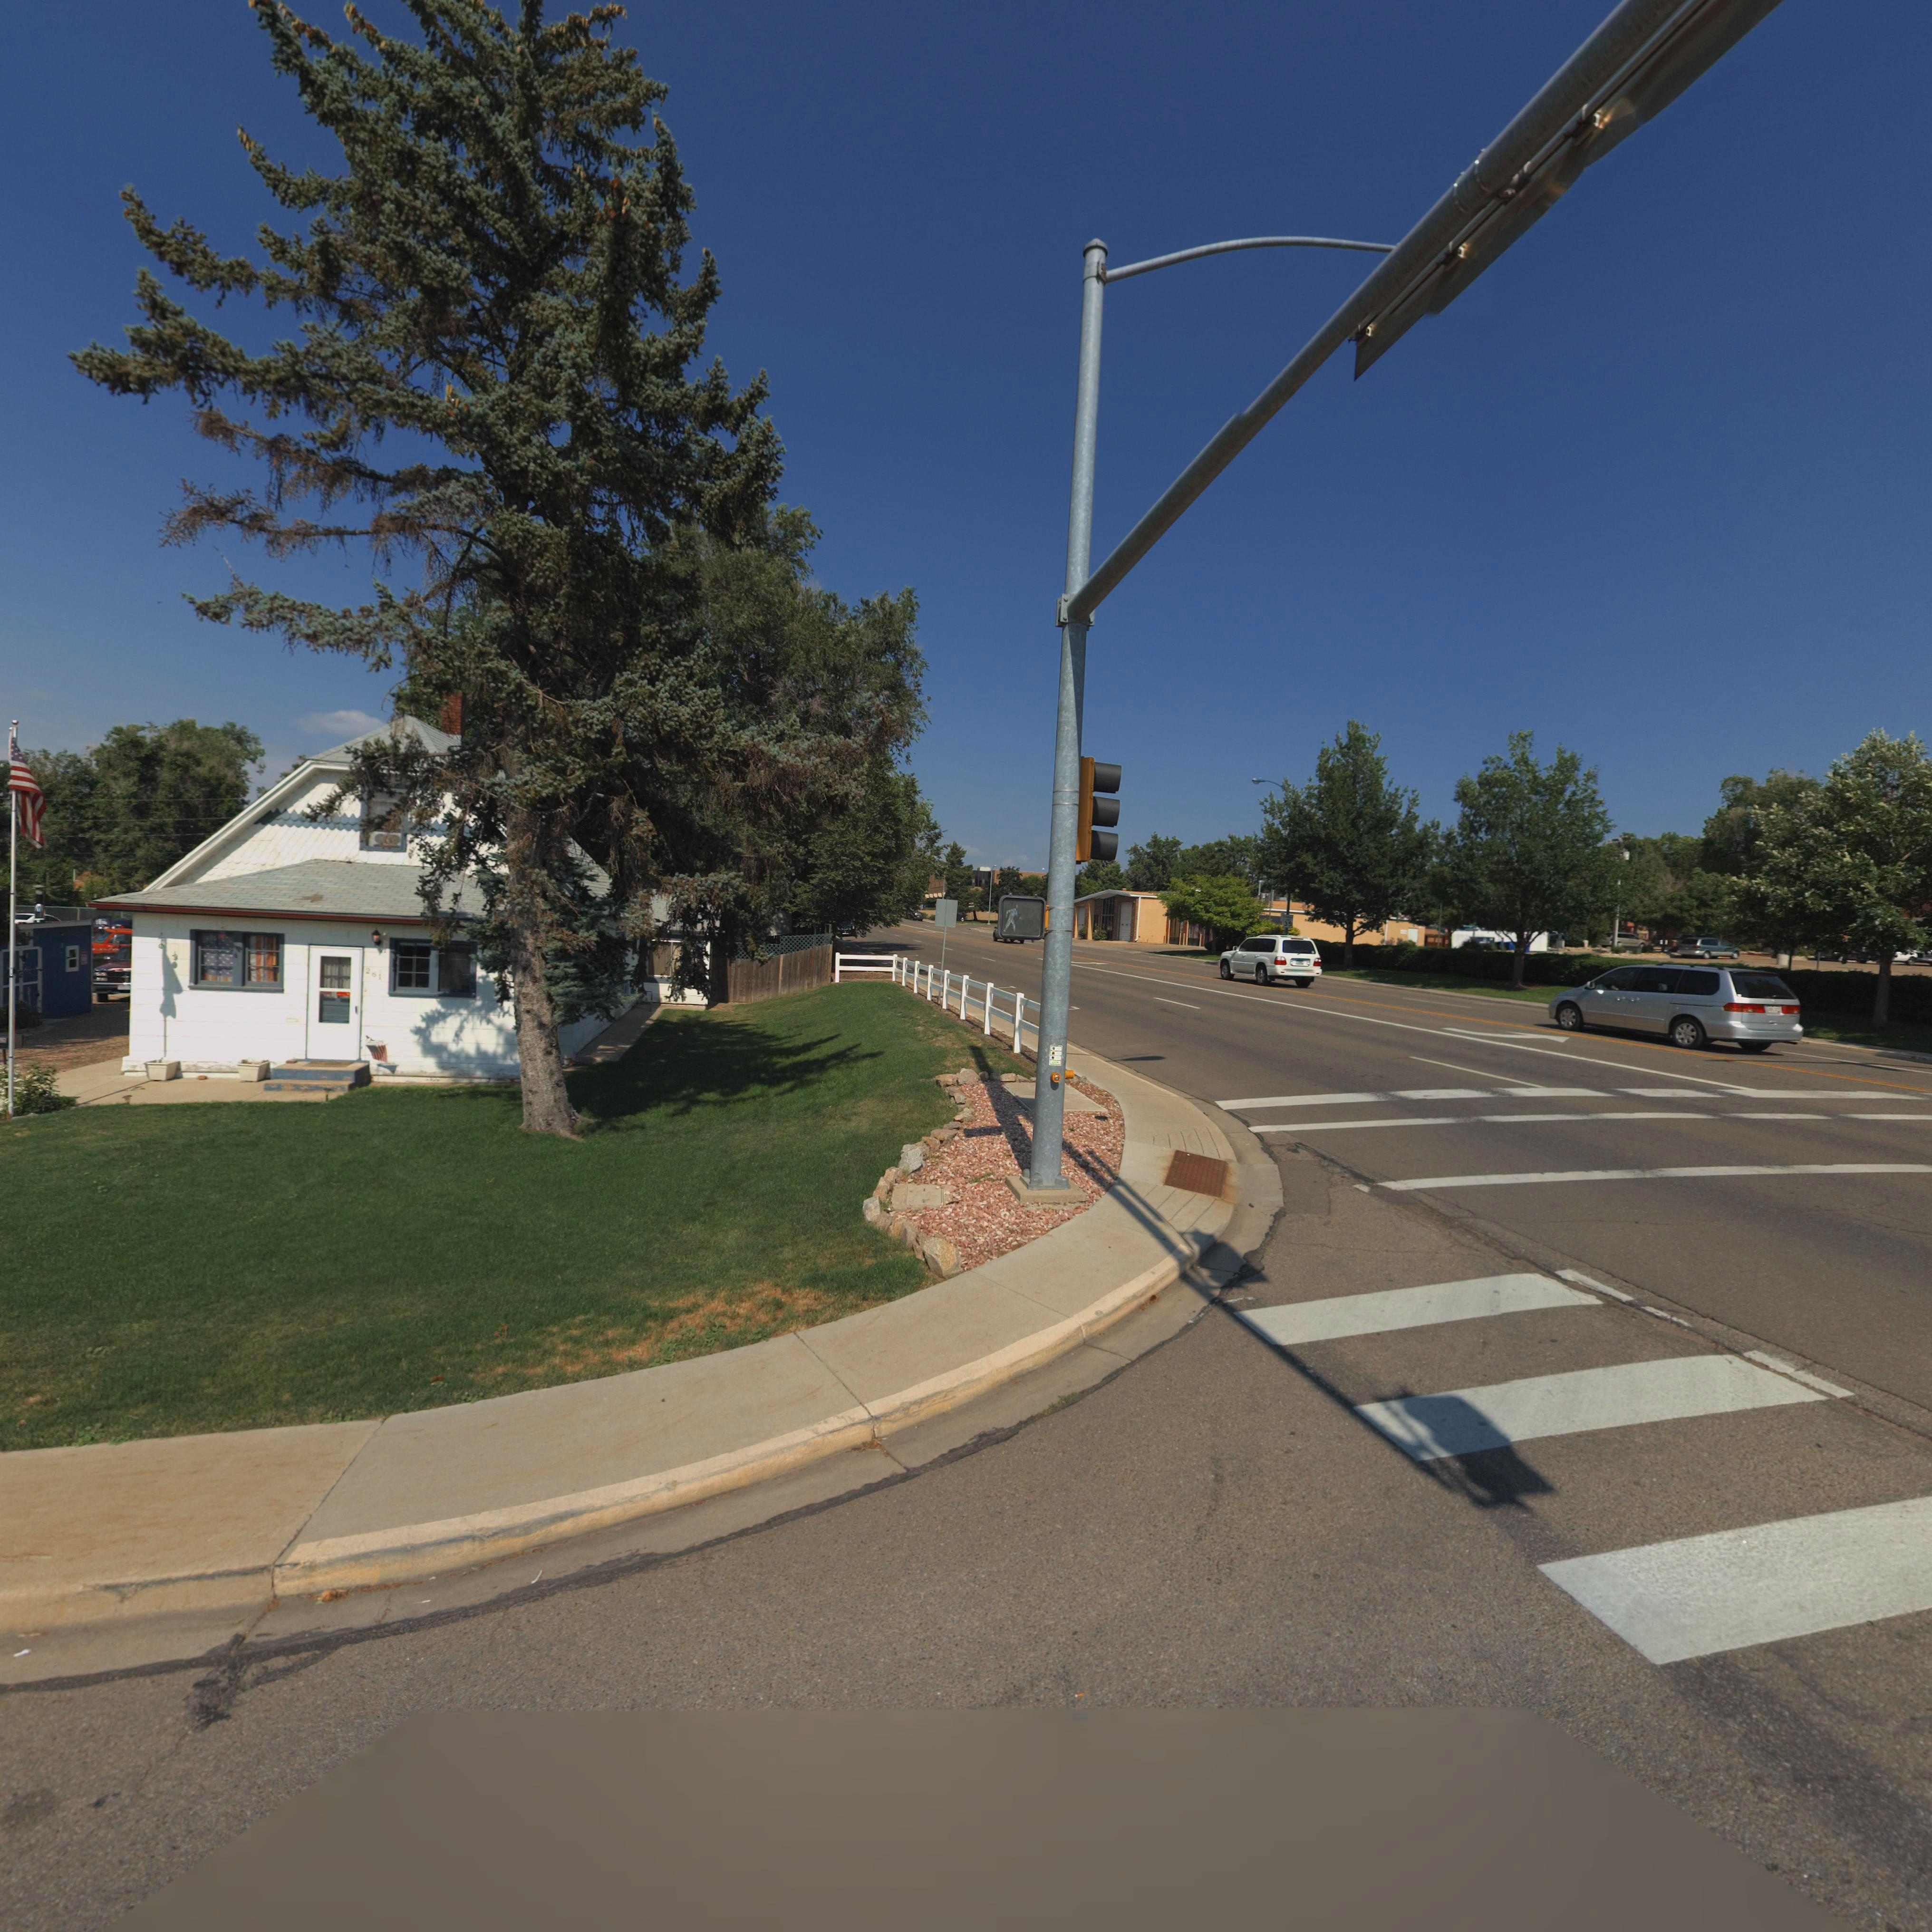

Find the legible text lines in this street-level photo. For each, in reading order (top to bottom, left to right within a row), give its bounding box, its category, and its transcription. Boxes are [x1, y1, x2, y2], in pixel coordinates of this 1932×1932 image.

[365, 967, 382, 981] StreetNumber: 261